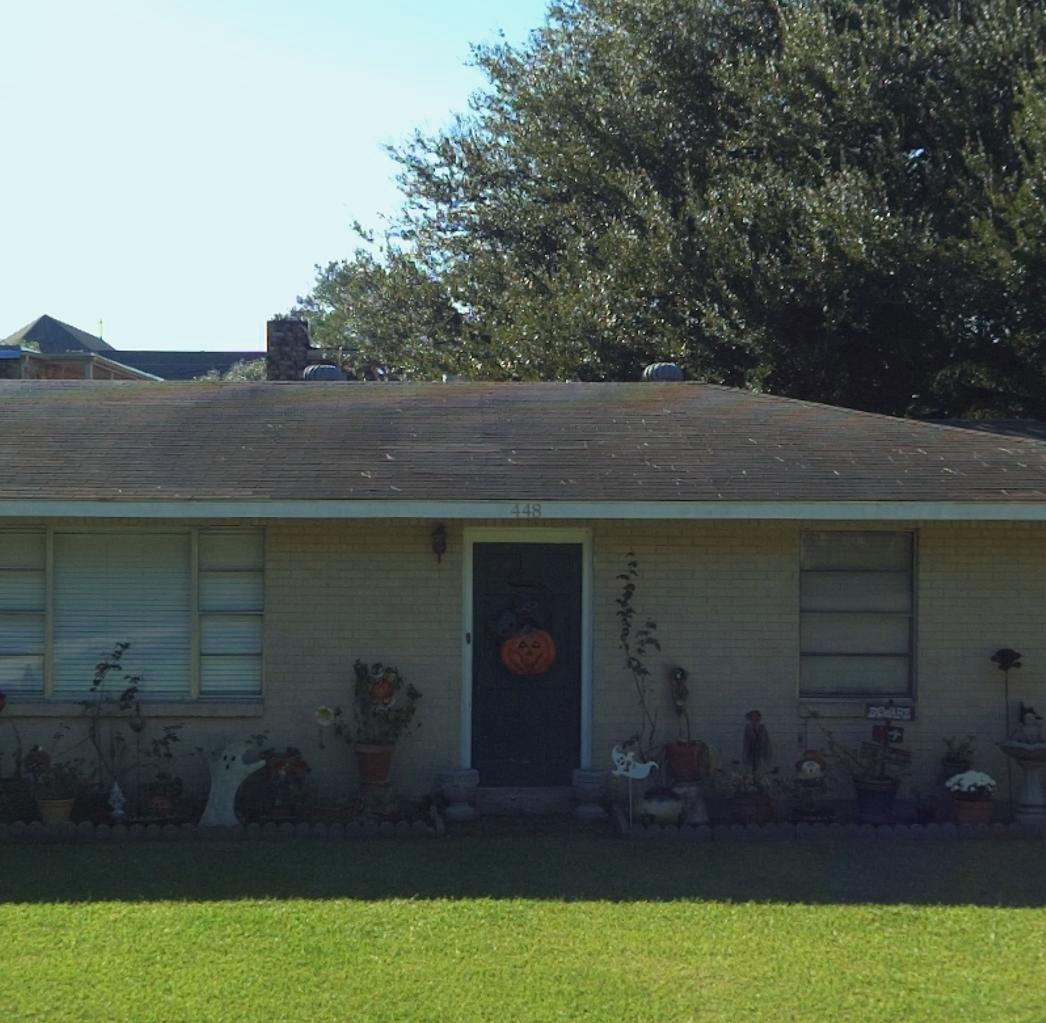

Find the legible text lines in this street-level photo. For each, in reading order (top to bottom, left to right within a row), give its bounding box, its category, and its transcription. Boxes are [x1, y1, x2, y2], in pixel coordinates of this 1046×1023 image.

[510, 502, 543, 518] StreetNumber: 448
[865, 705, 913, 720] None: BEWARE